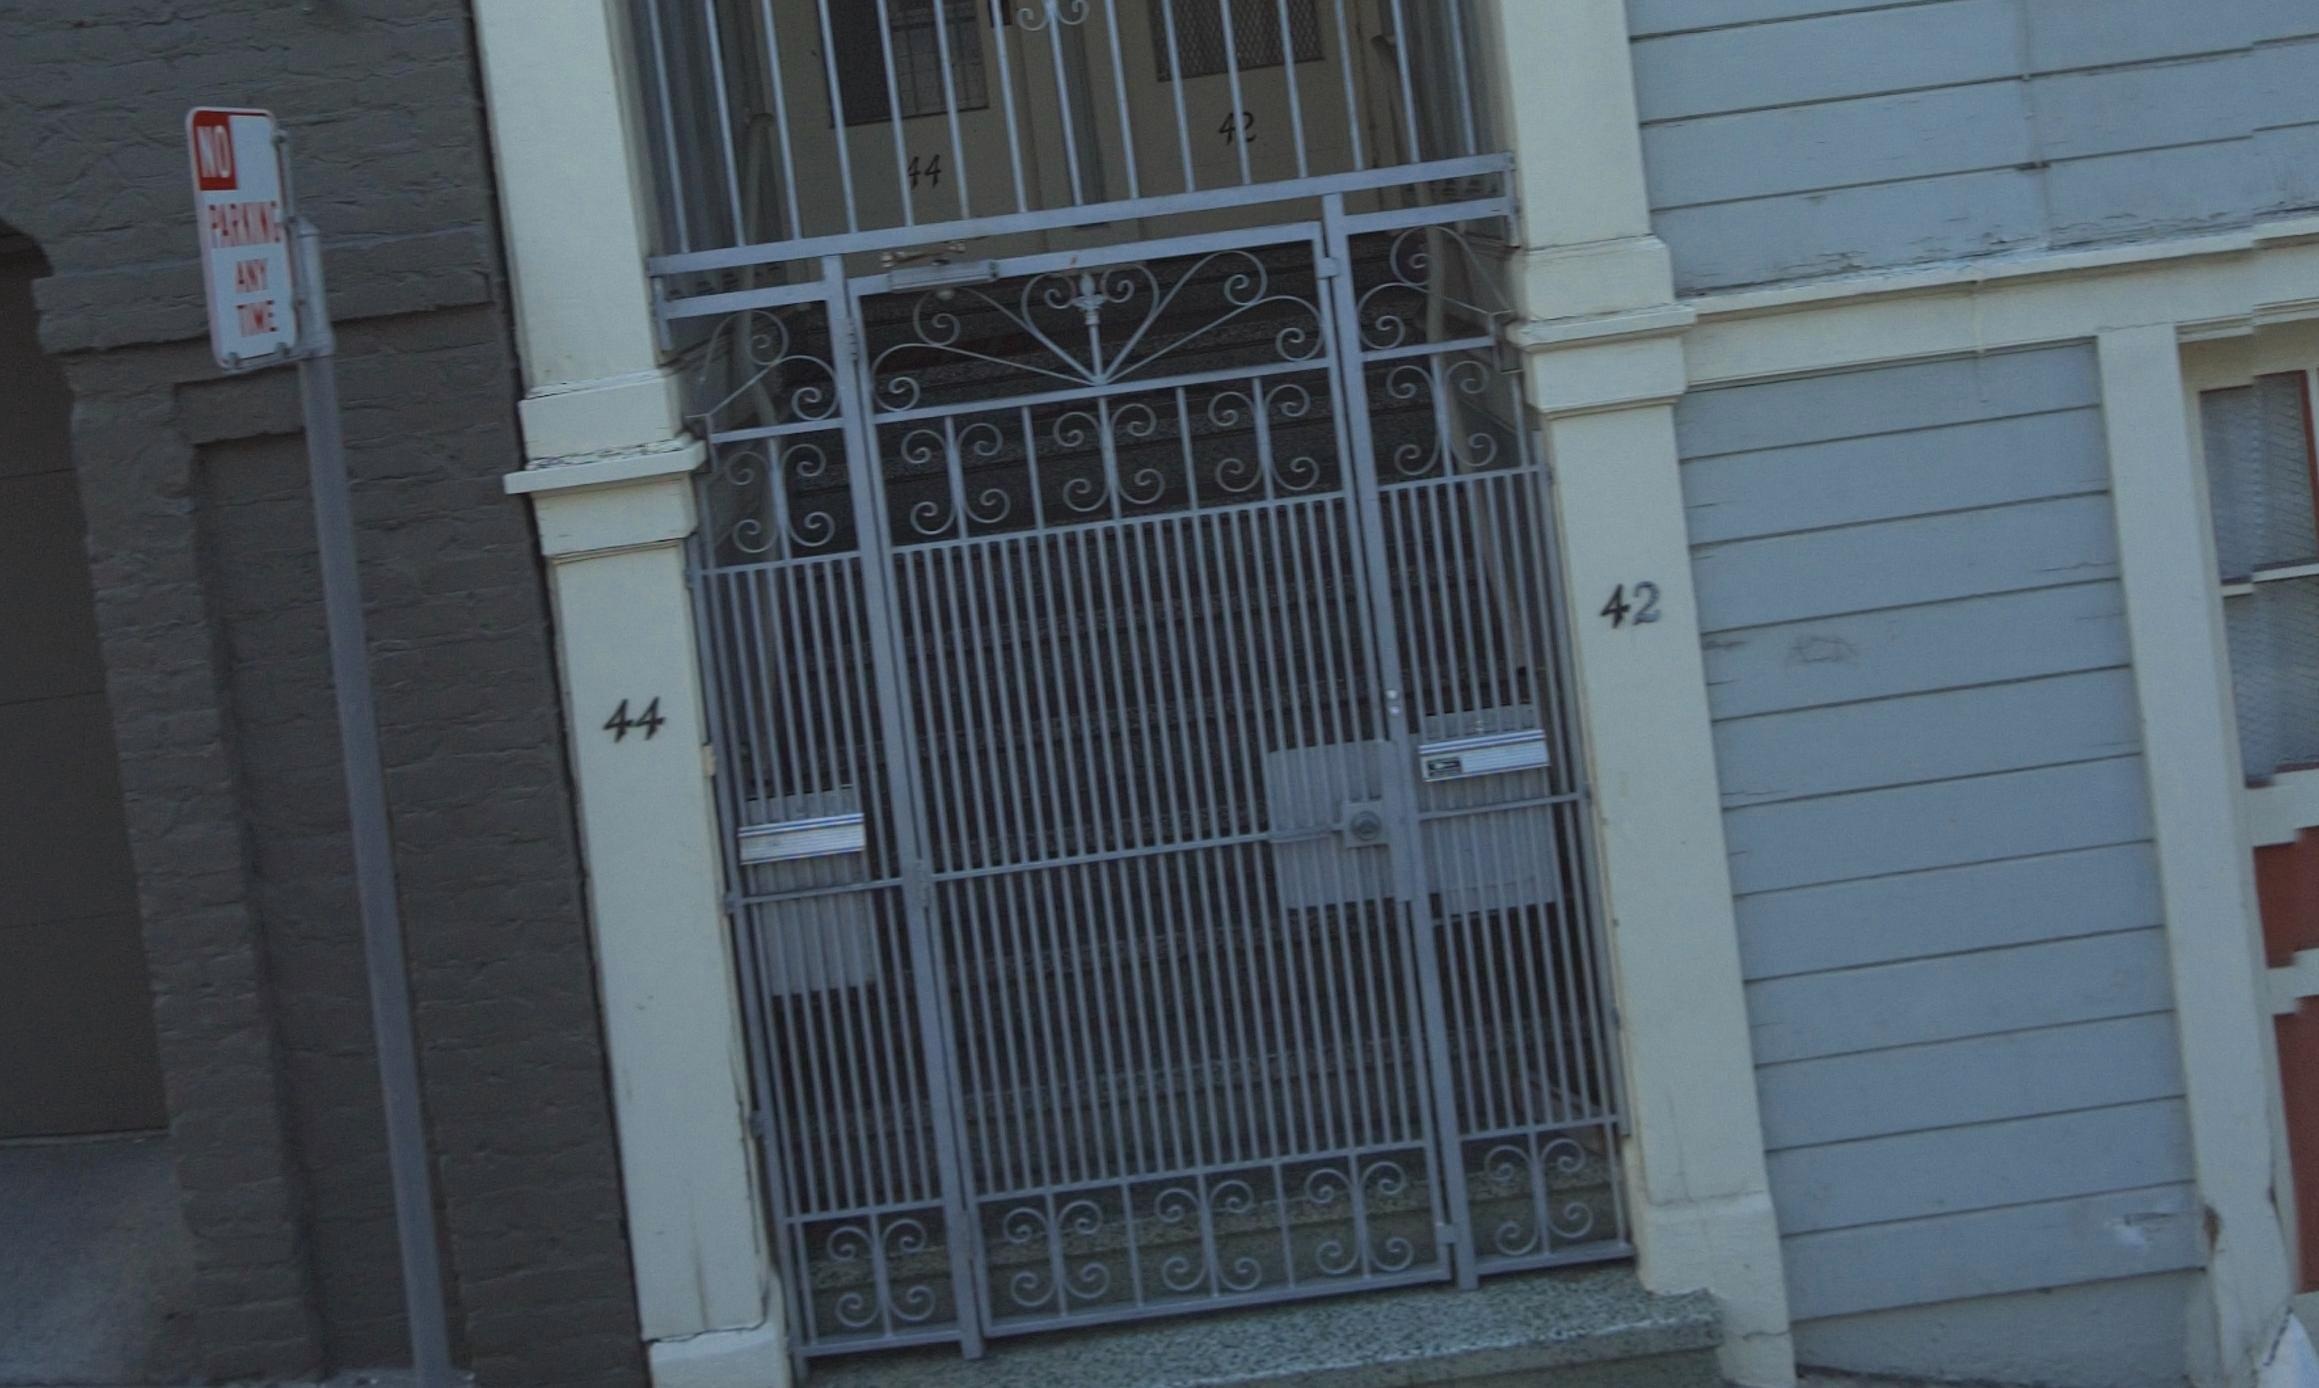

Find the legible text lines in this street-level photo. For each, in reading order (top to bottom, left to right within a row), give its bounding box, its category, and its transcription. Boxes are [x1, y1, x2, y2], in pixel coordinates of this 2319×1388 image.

[191, 120, 237, 184] None: NO
[204, 197, 290, 253] None: PARKING
[232, 254, 273, 295] None: ANY
[231, 296, 283, 341] None: TIME
[1594, 573, 1667, 633] StreetNumber: 42
[595, 693, 672, 749] StreetNumber: 44